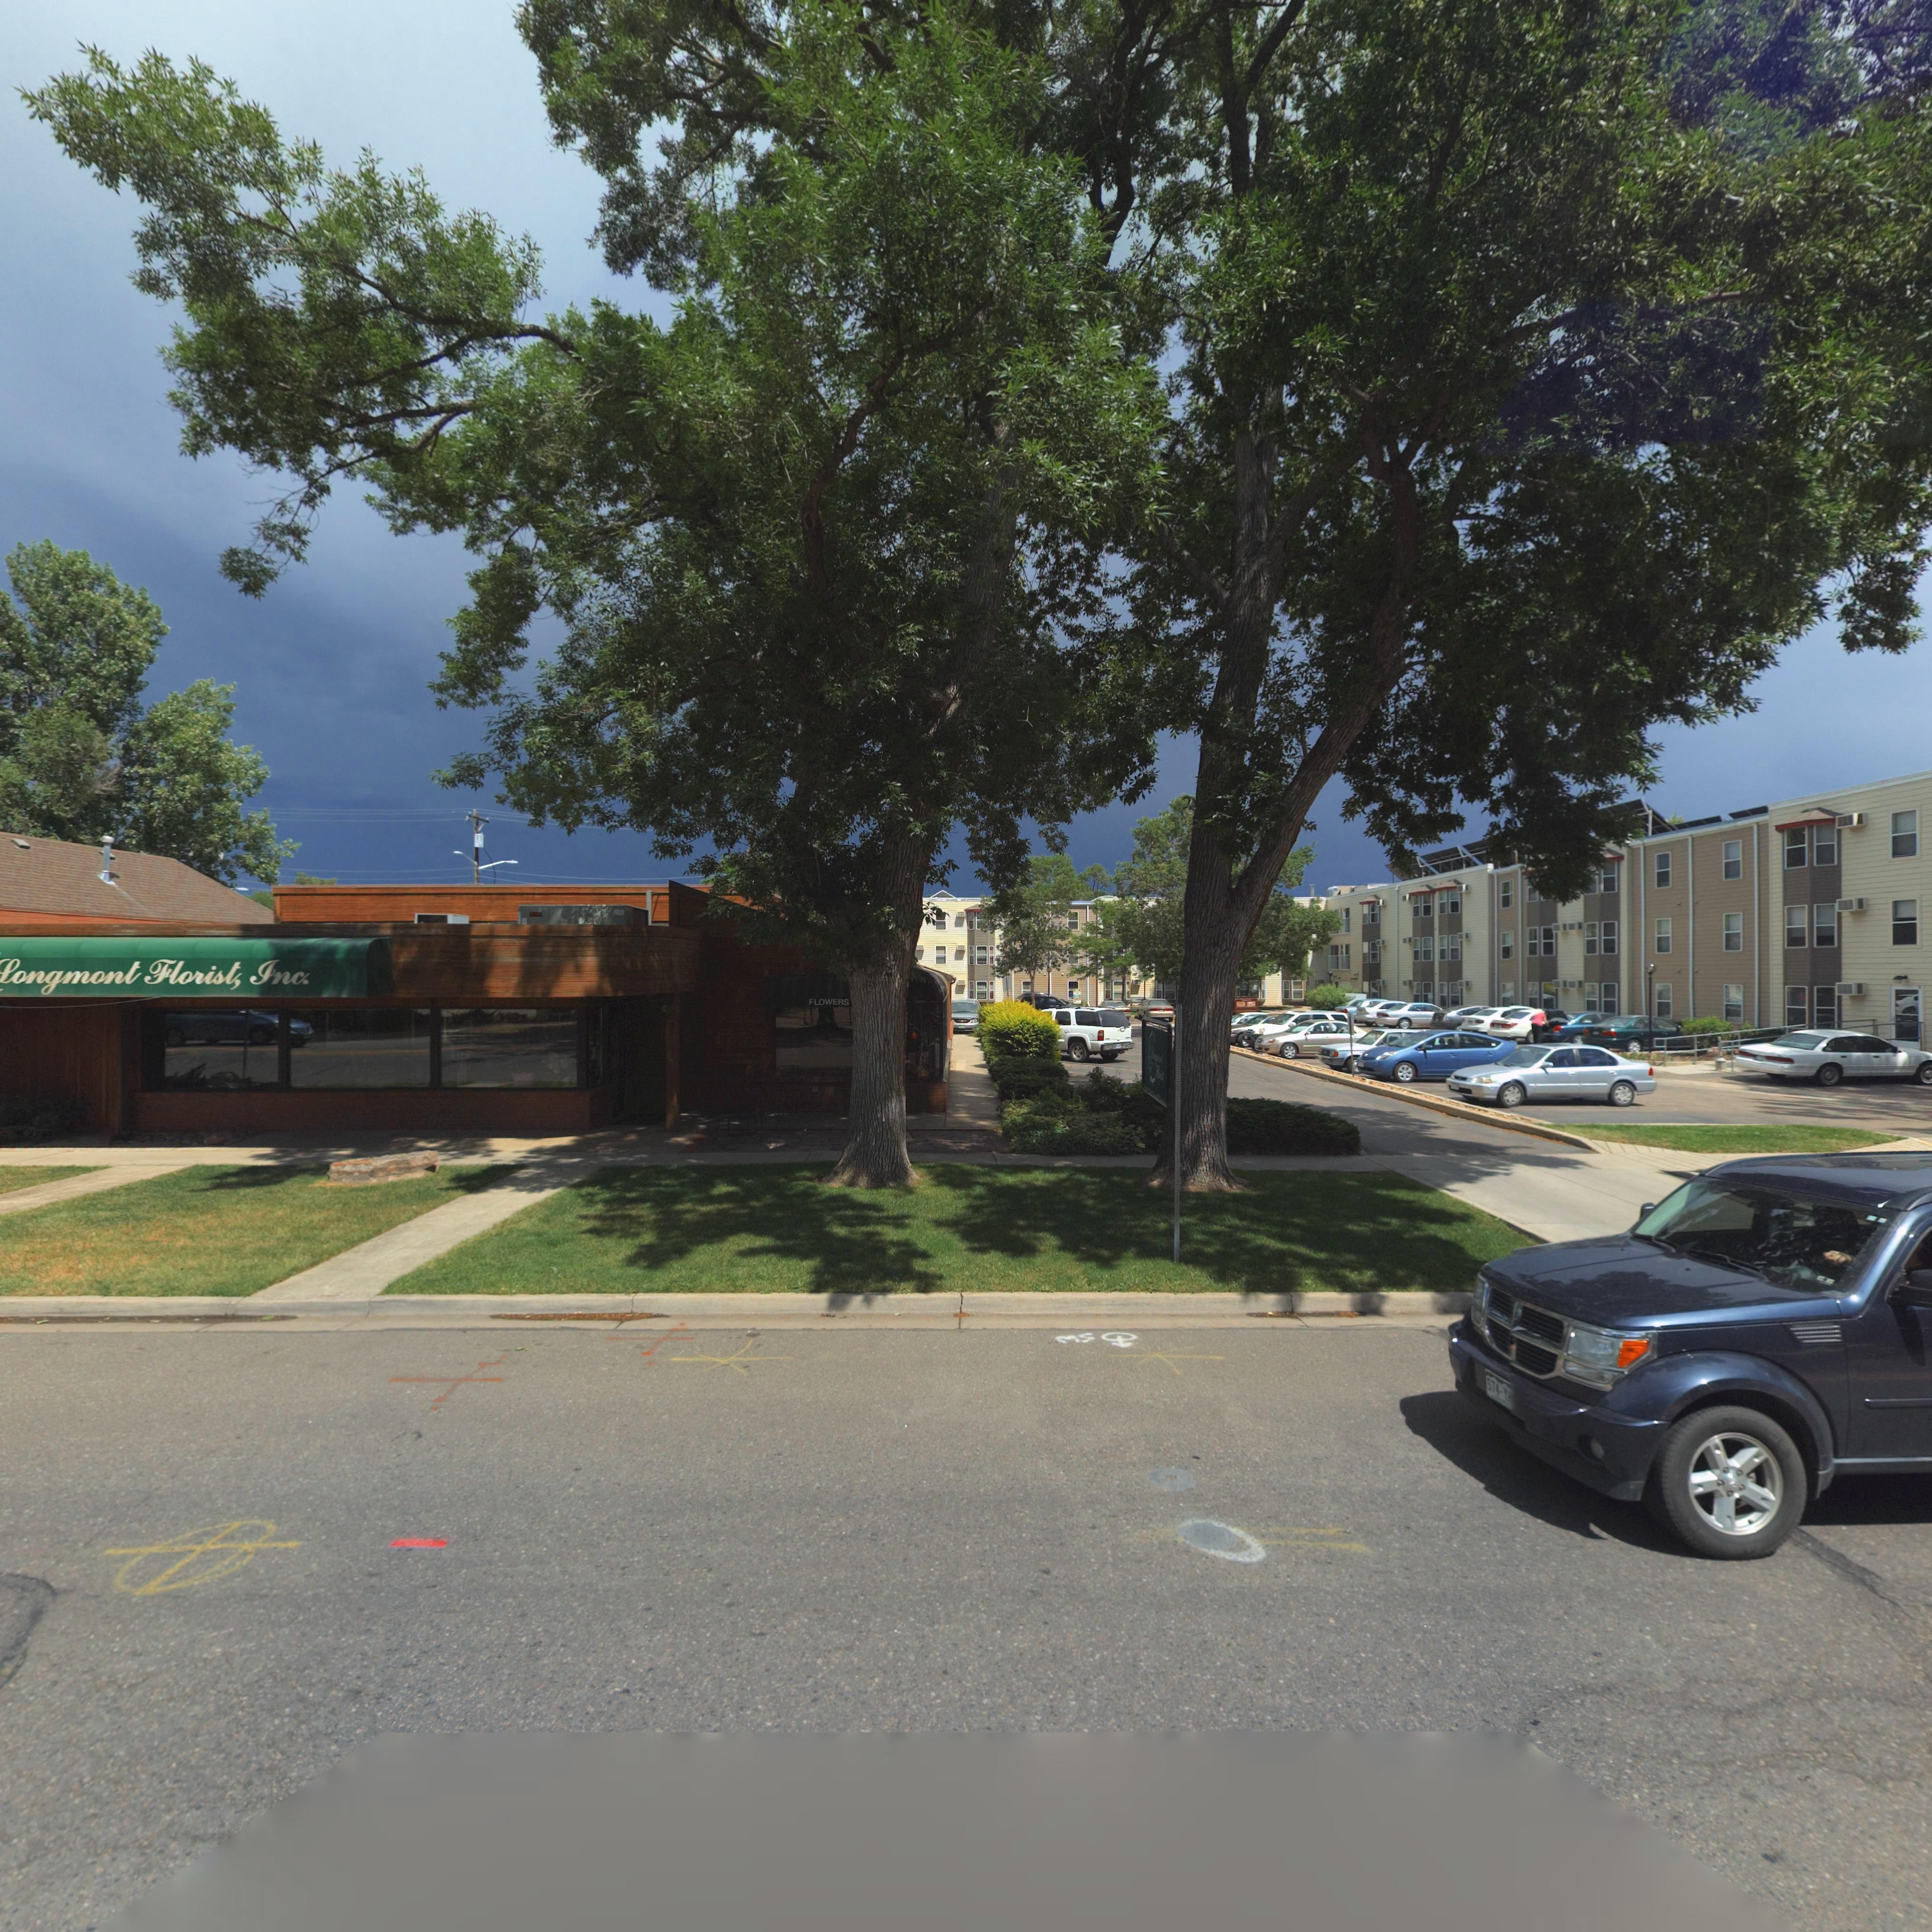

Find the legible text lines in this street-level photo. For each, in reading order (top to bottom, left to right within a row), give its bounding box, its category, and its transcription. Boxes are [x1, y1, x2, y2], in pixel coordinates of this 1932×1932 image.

[10, 957, 313, 996] BusinessName: ongmont Florist, Inc.
[1147, 1044, 1165, 1067] BusinessName: L******t
[1153, 1063, 1165, 1082] BusinessName: ******t